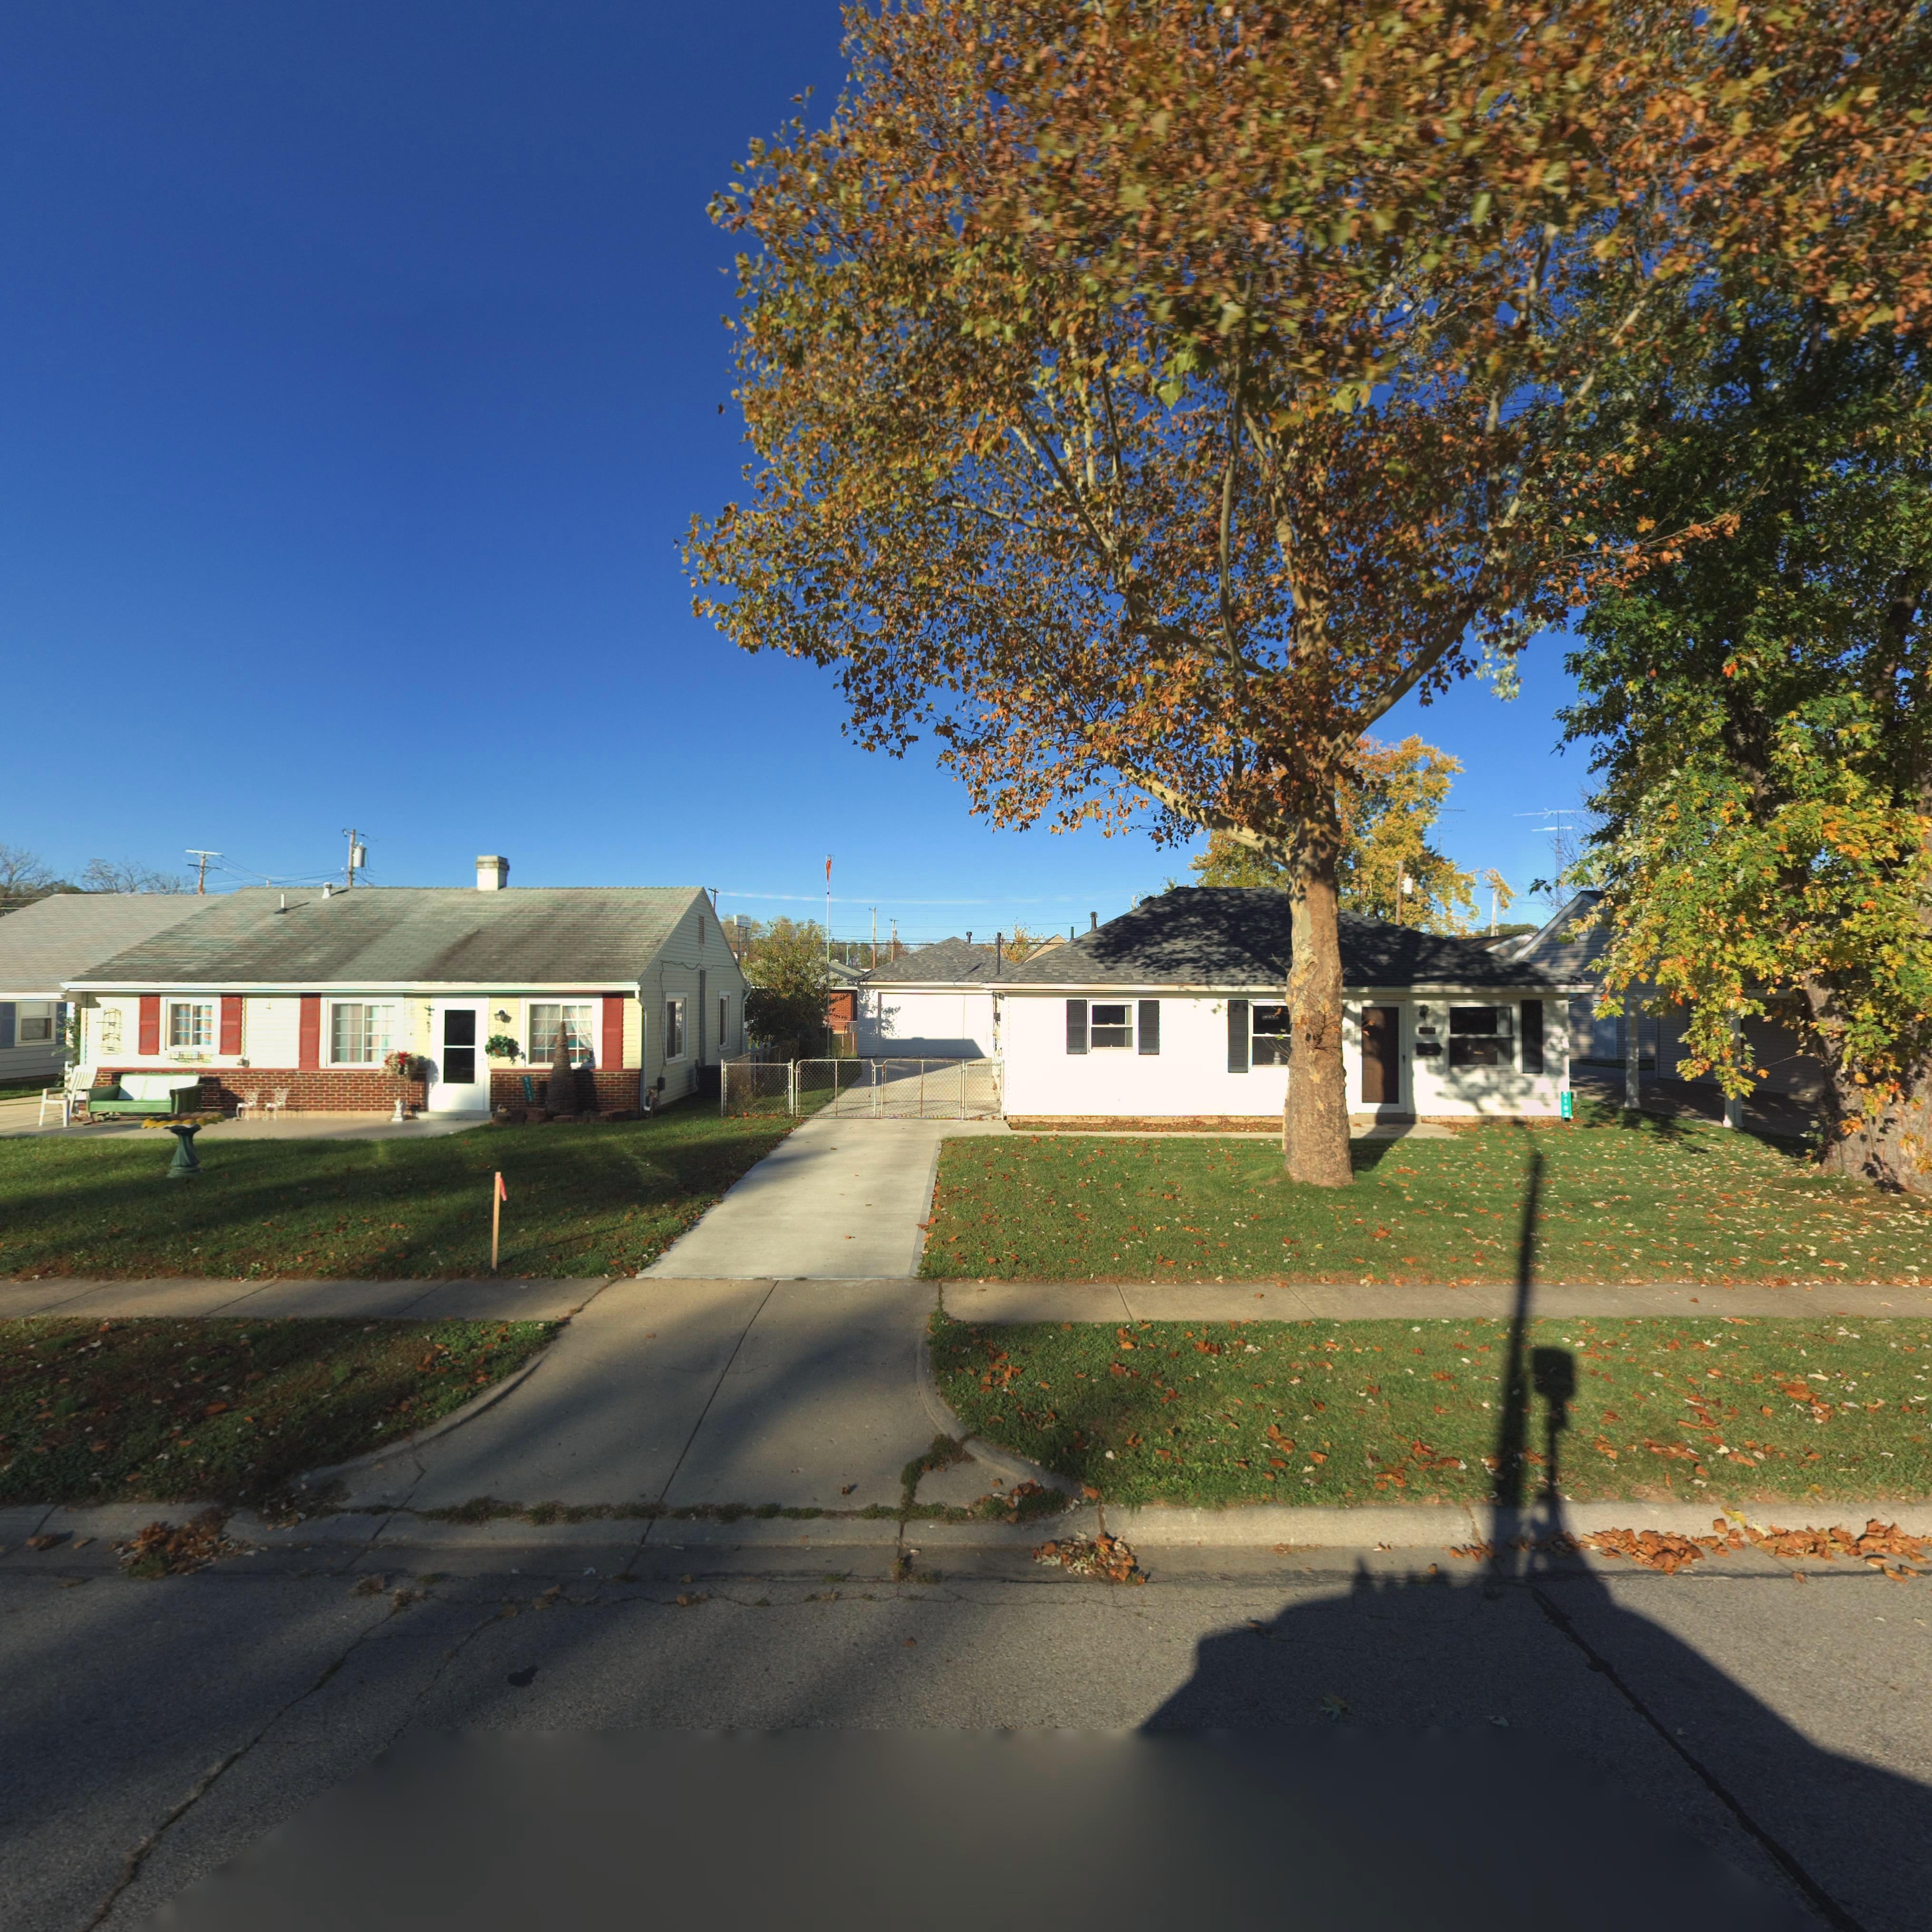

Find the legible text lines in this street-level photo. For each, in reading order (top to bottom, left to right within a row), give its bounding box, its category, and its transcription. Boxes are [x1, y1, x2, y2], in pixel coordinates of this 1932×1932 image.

[523, 1076, 533, 1102] StreetNumber: 5113